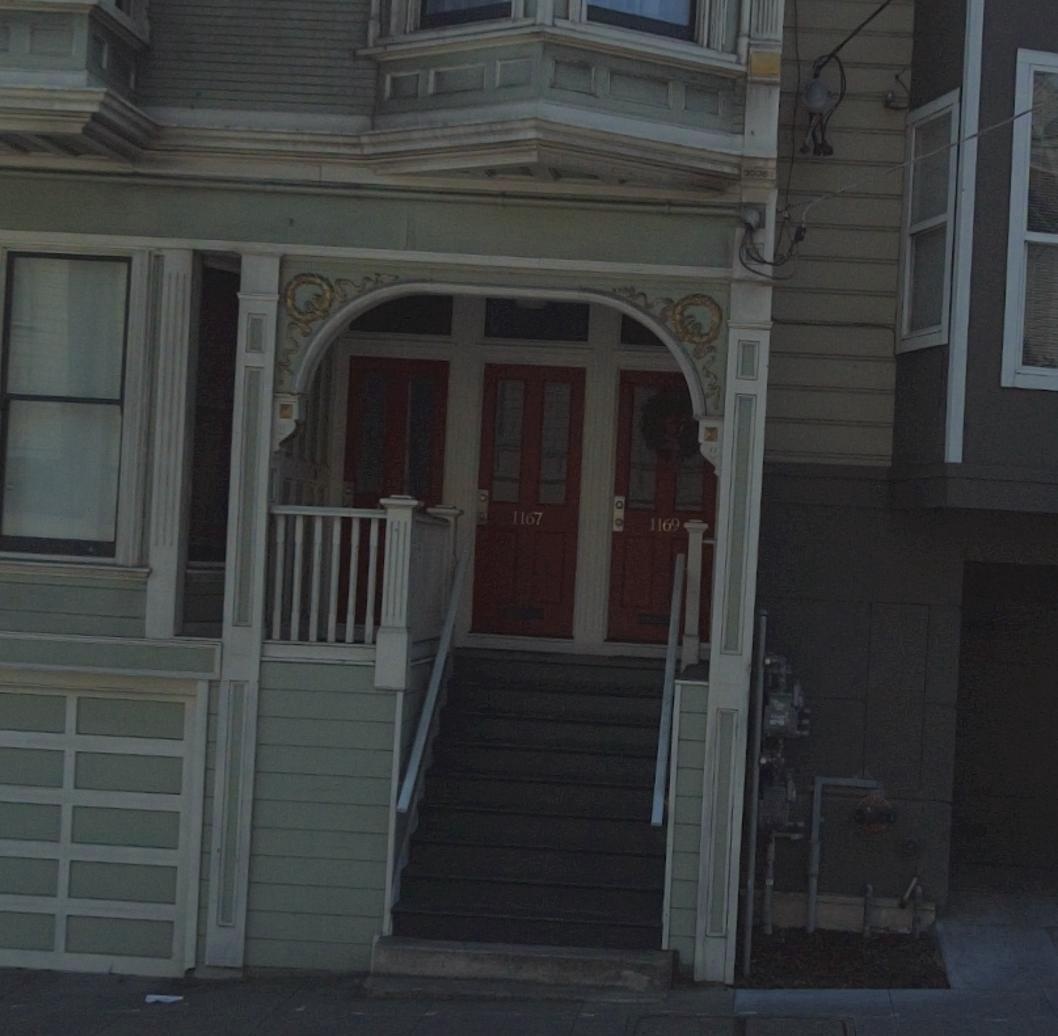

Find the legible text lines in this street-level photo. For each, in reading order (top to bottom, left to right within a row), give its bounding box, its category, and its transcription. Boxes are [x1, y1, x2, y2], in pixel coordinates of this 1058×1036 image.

[511, 510, 544, 526] StreetNumber: 1167
[648, 517, 681, 533] StreetNumber: 1169